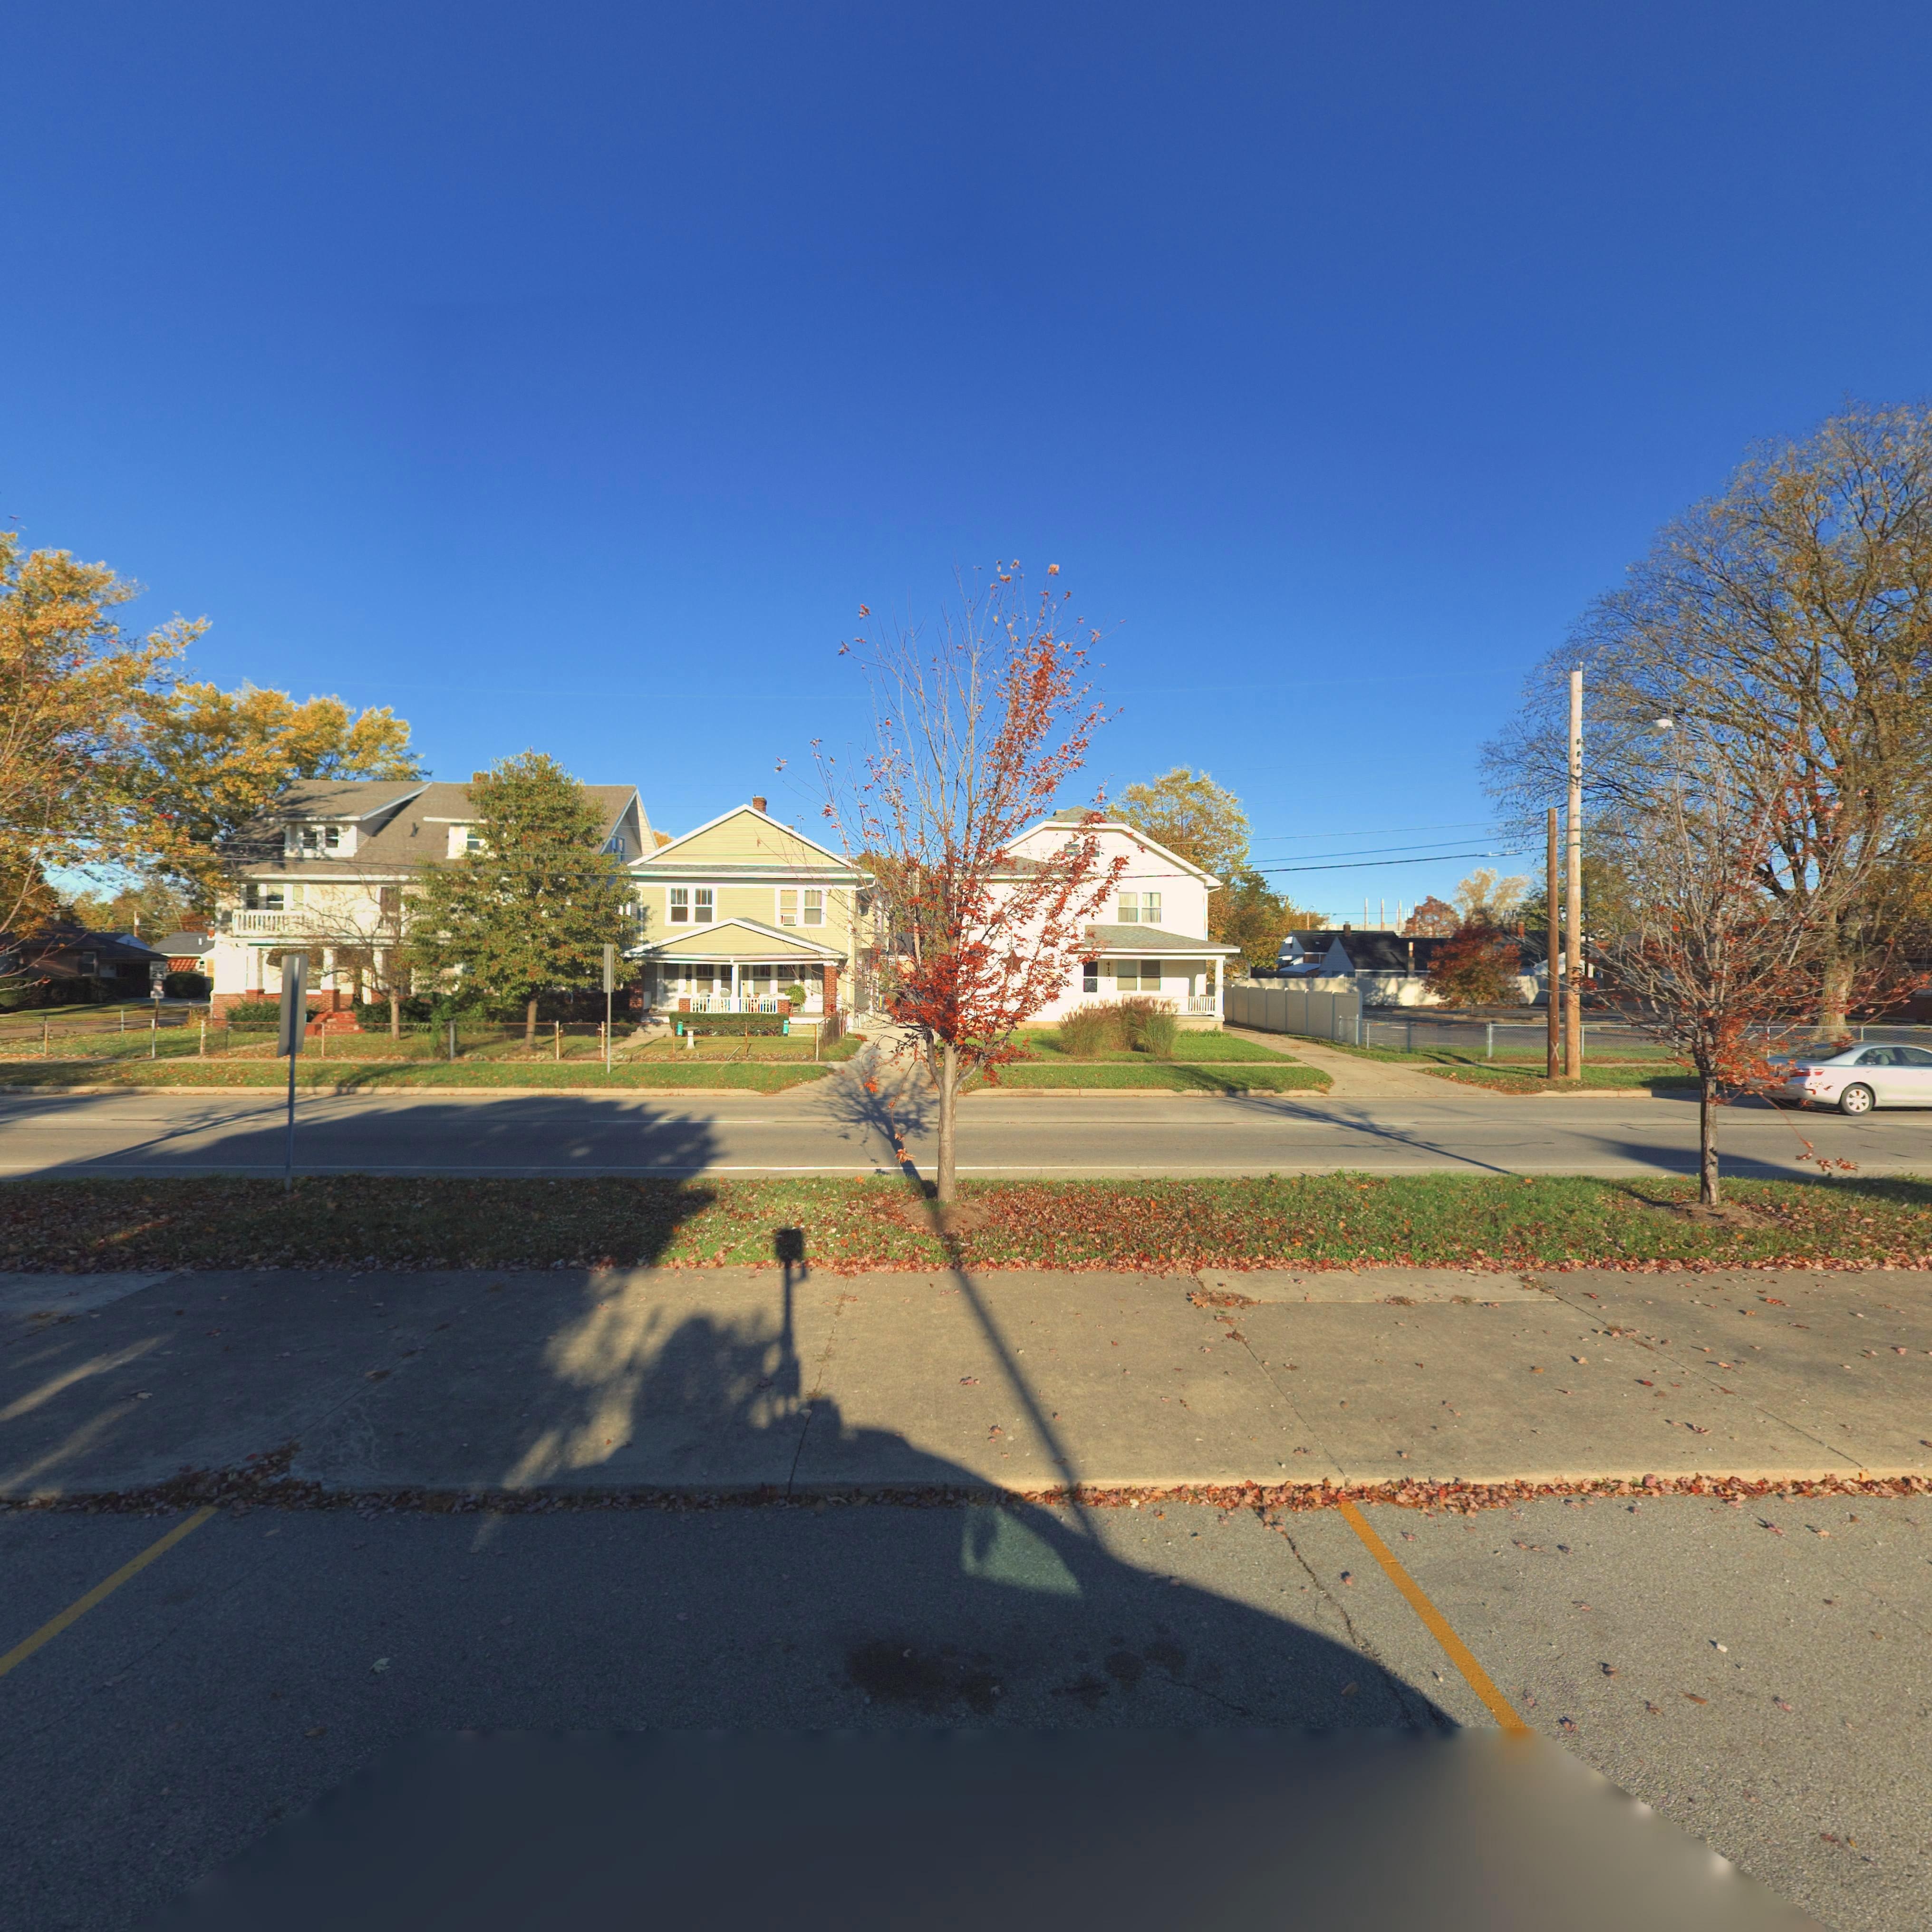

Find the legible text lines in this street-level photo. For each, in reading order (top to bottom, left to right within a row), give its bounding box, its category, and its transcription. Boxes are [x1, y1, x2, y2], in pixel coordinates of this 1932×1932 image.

[1105, 960, 1111, 983] StreetNumber: 413*